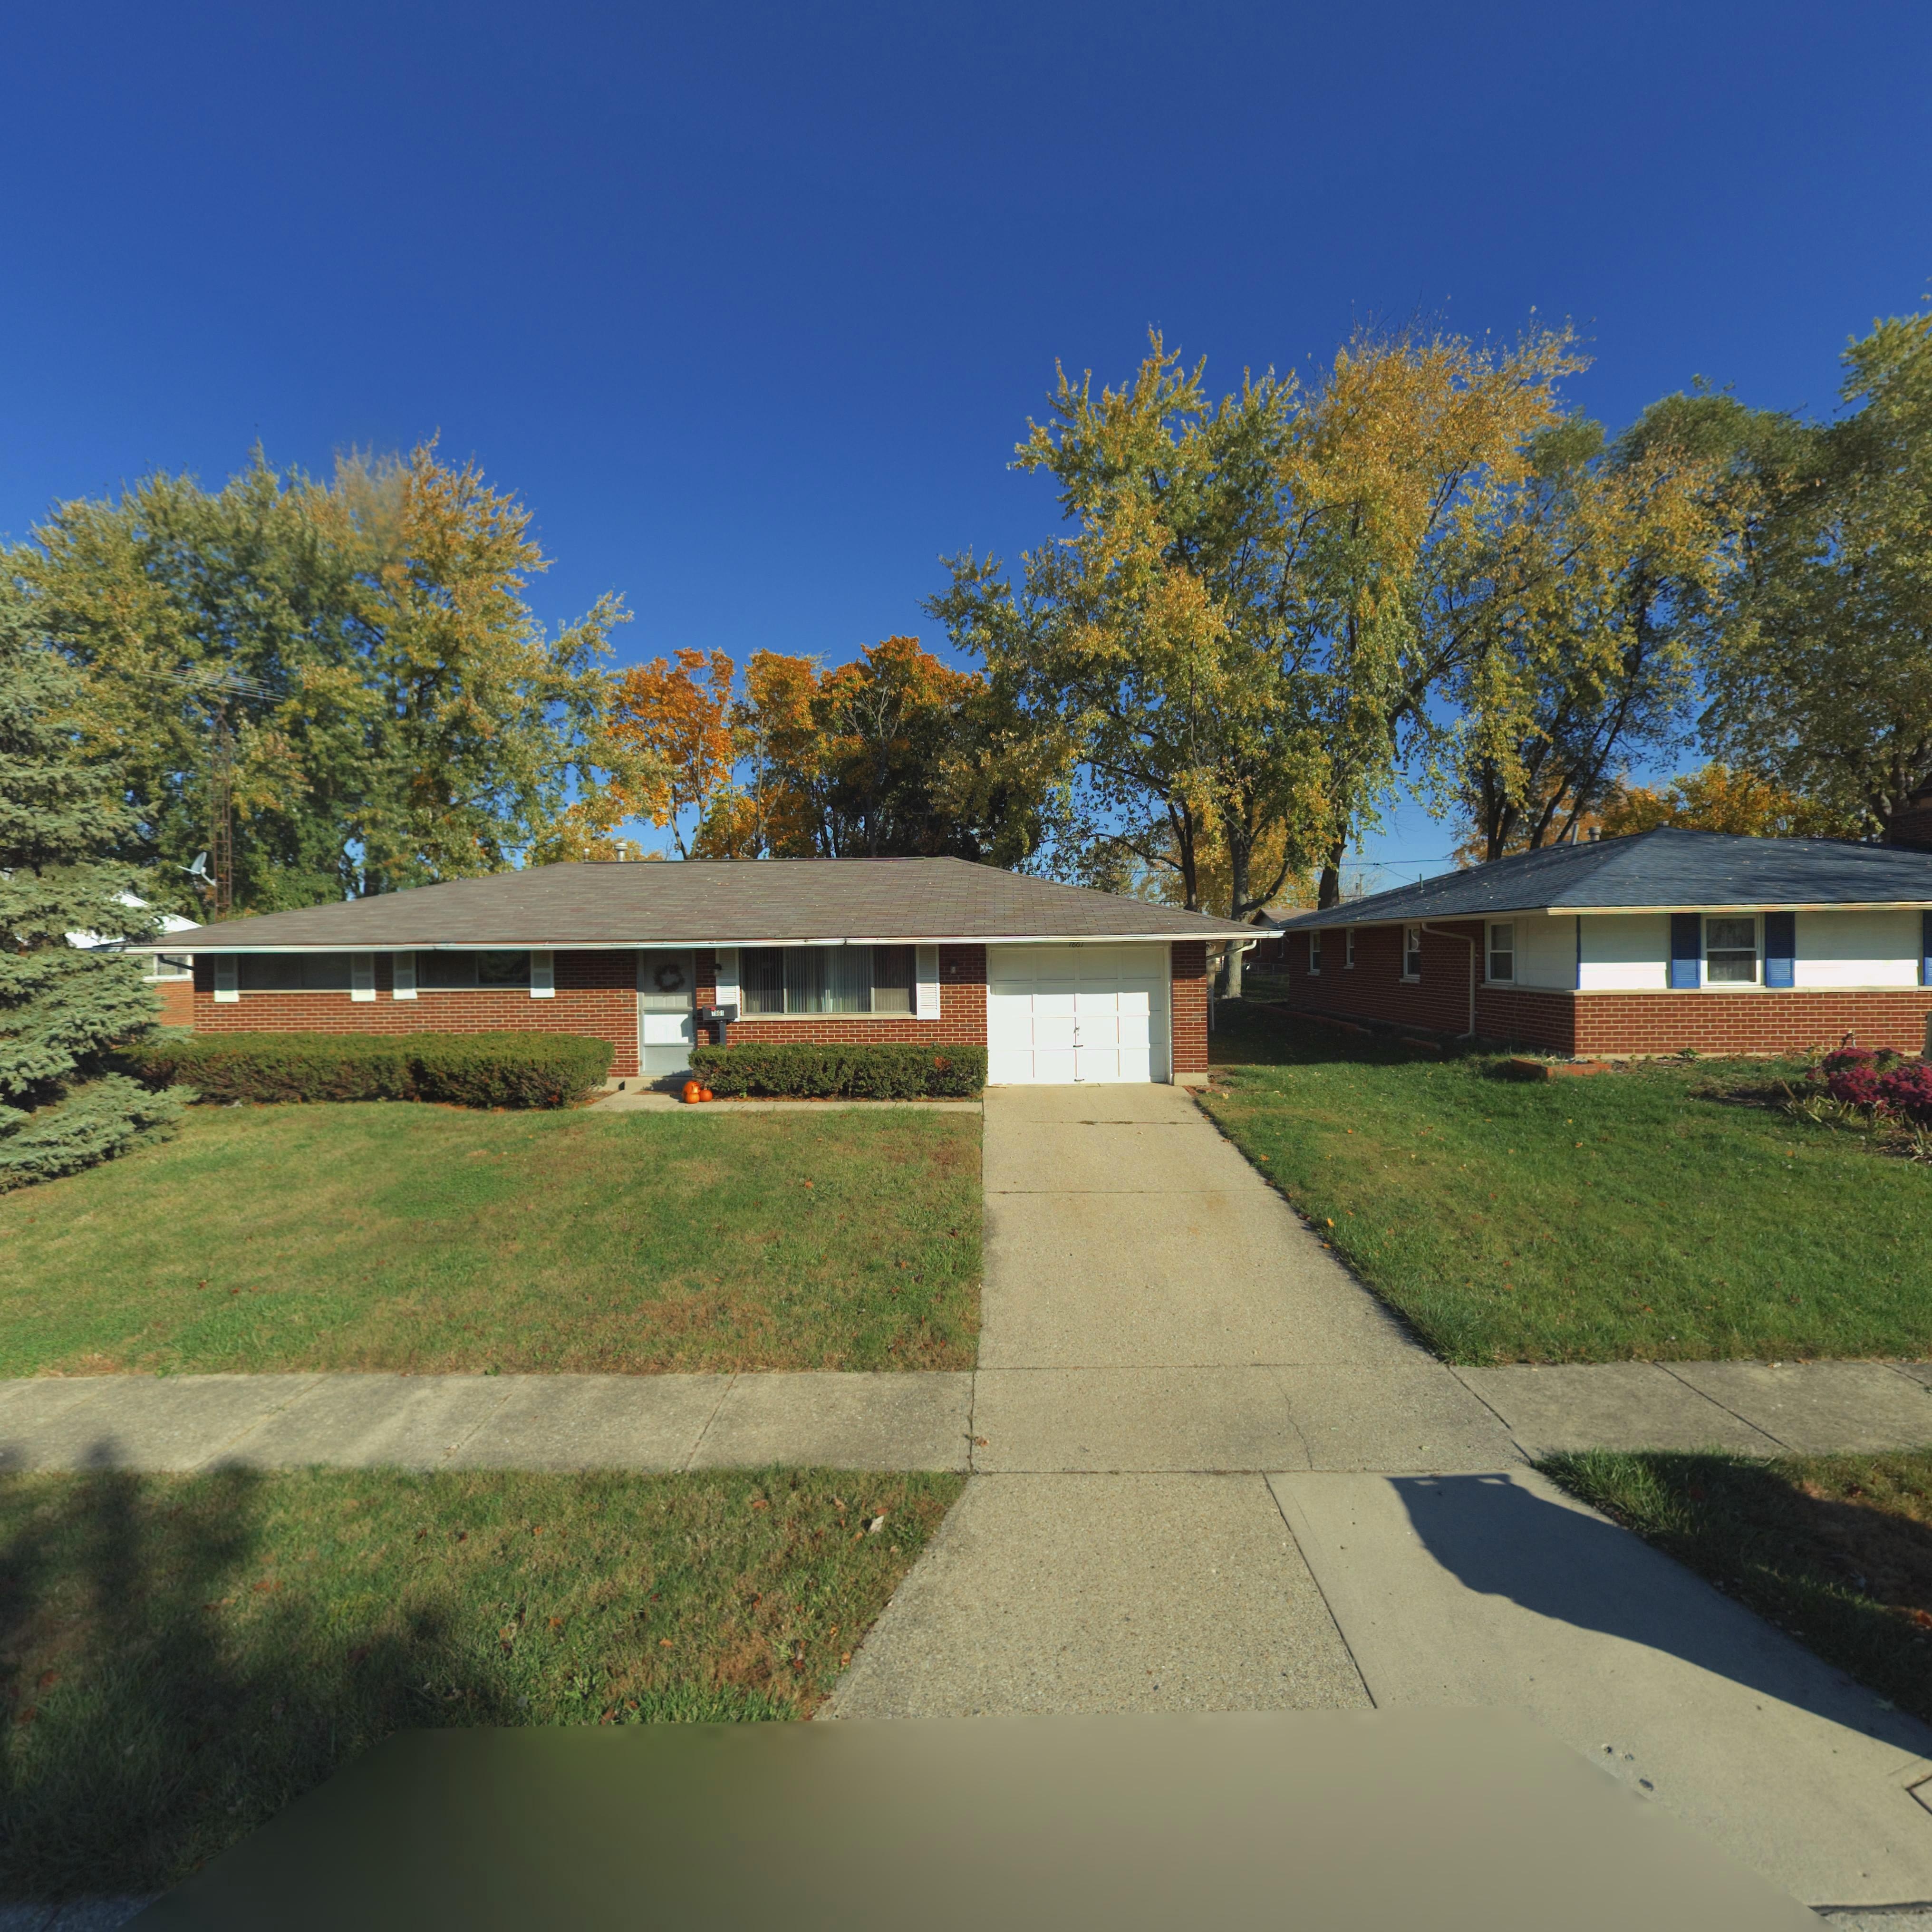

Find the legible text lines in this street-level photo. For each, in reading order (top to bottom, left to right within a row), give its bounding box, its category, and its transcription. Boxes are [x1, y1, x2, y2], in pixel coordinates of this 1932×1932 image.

[1068, 941, 1084, 948] StreetNumber: 7861
[711, 1010, 724, 1016] StreetNumber: 7861